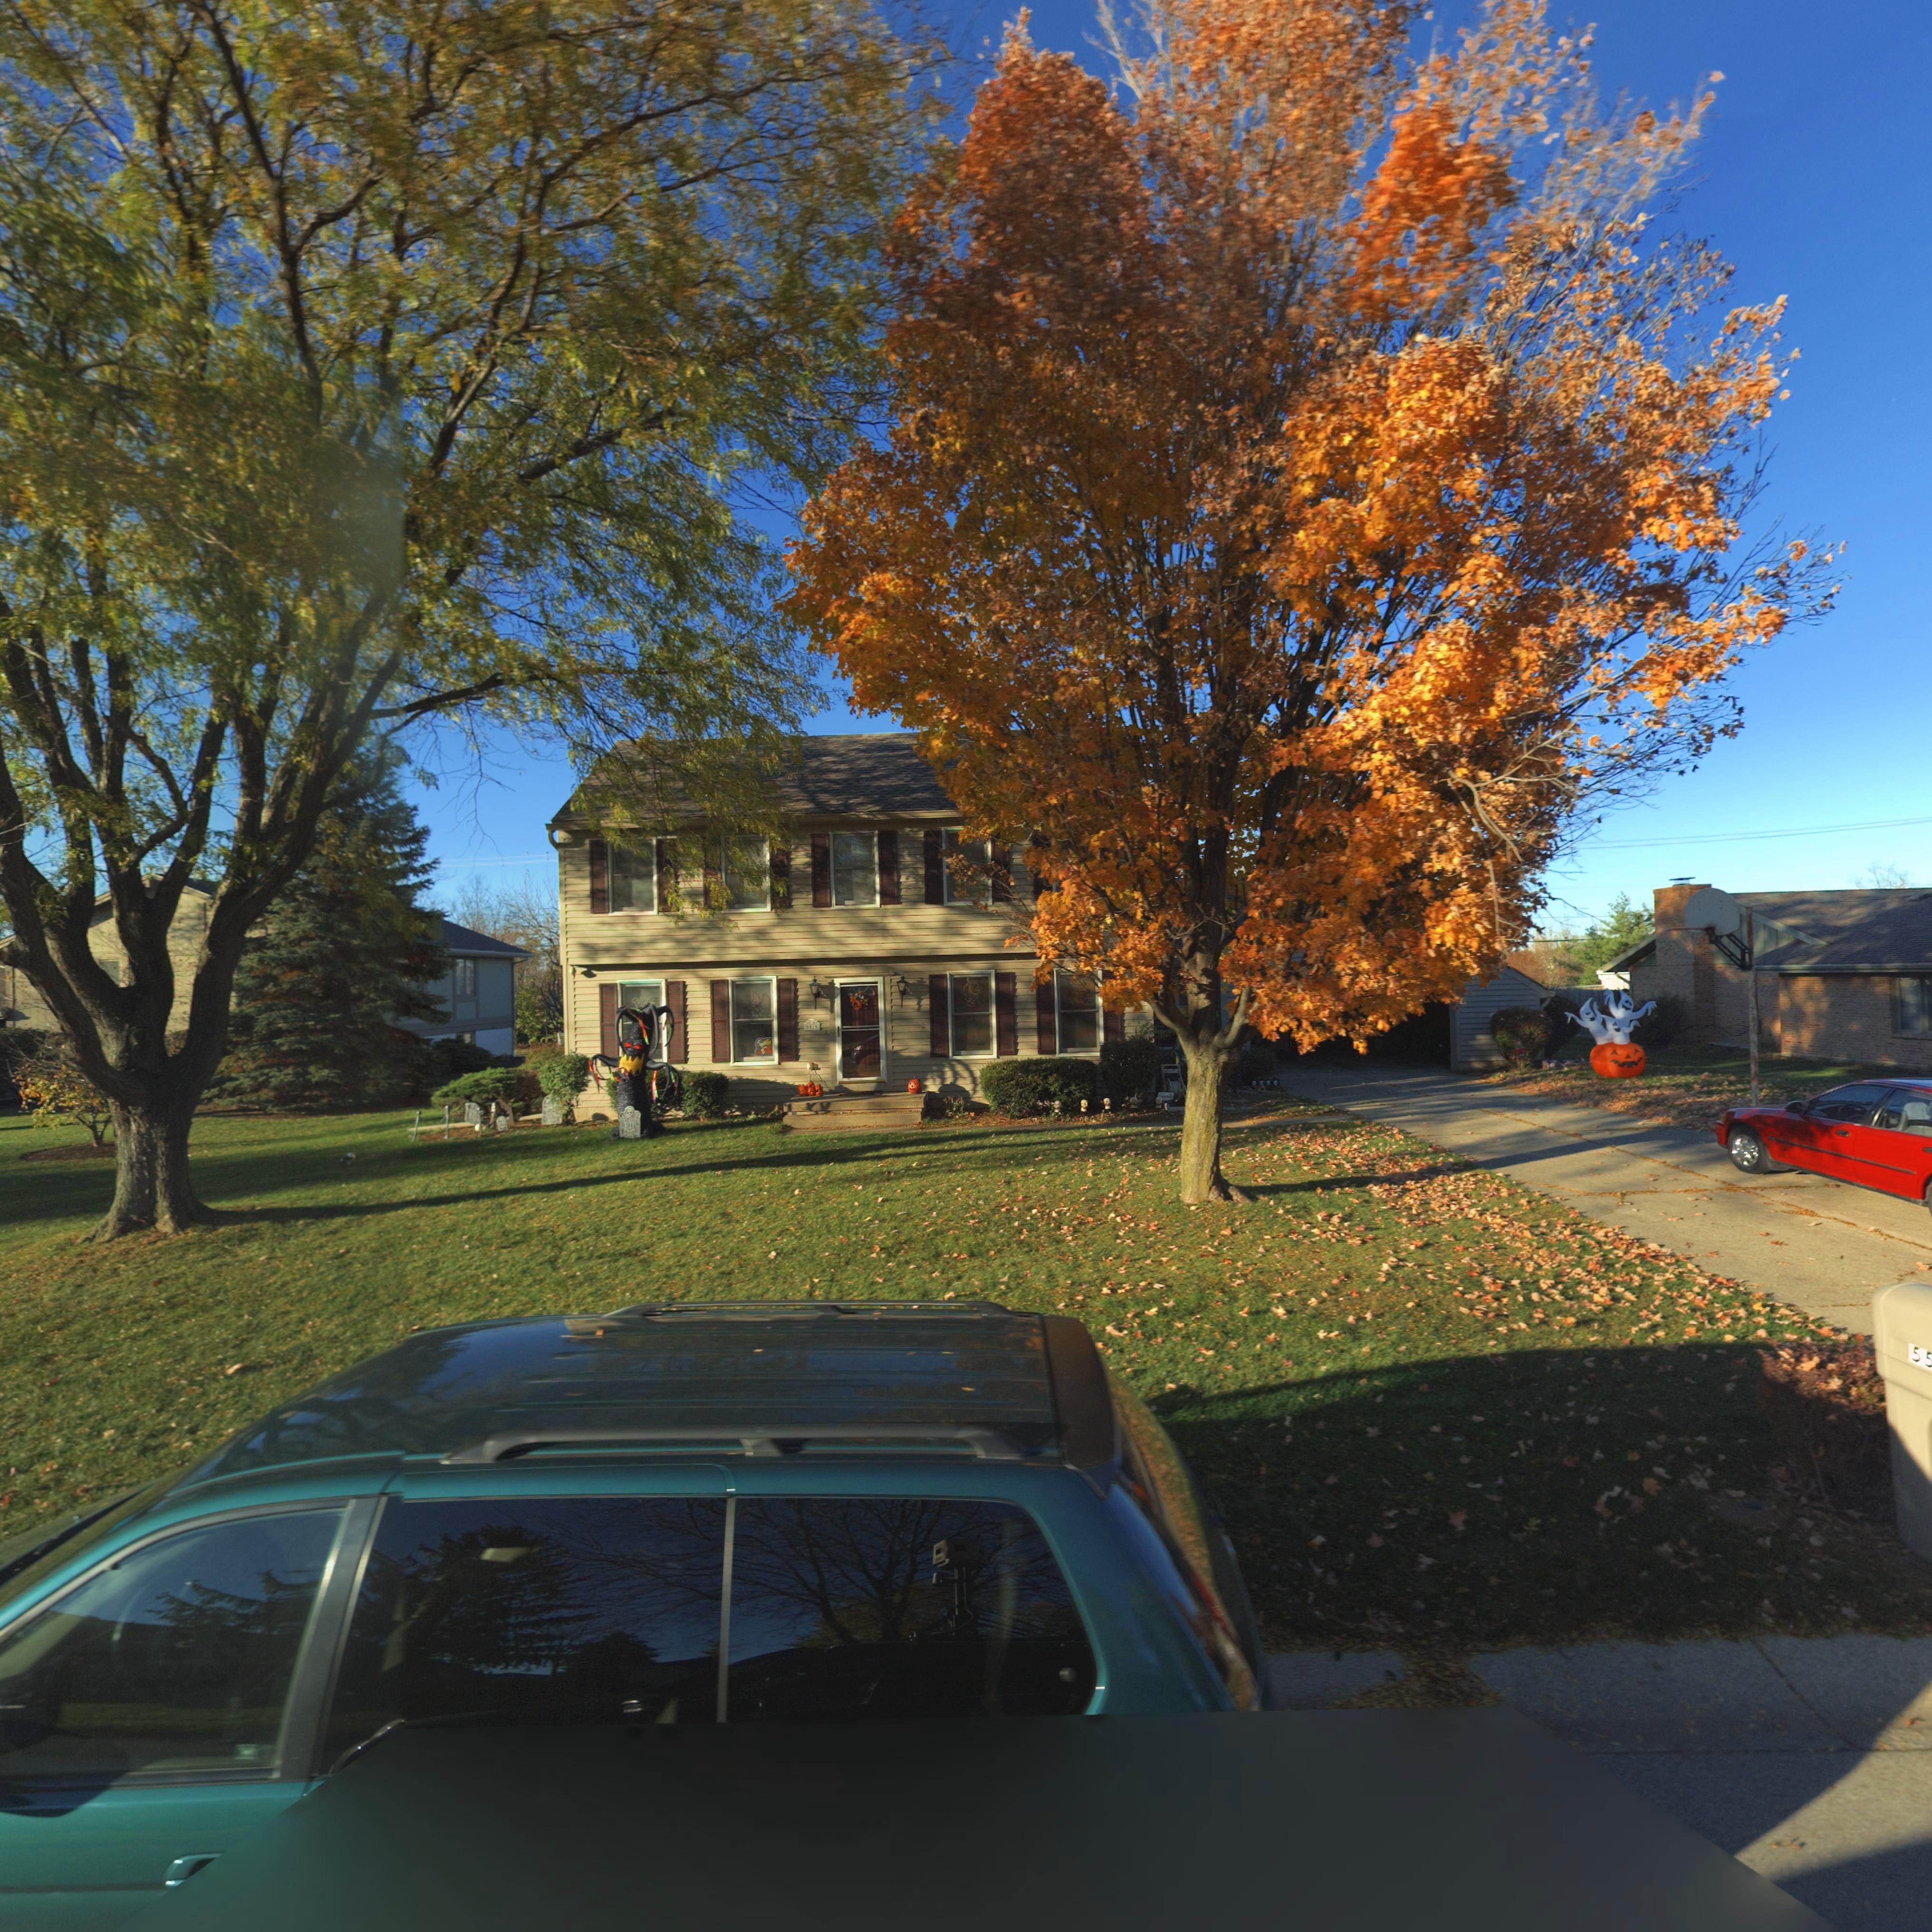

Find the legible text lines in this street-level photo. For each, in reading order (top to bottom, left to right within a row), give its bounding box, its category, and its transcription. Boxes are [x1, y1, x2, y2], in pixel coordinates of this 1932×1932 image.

[805, 1024, 819, 1030] StreetNumber: **1*
[1911, 1344, 1922, 1364] StreetNumber: 5